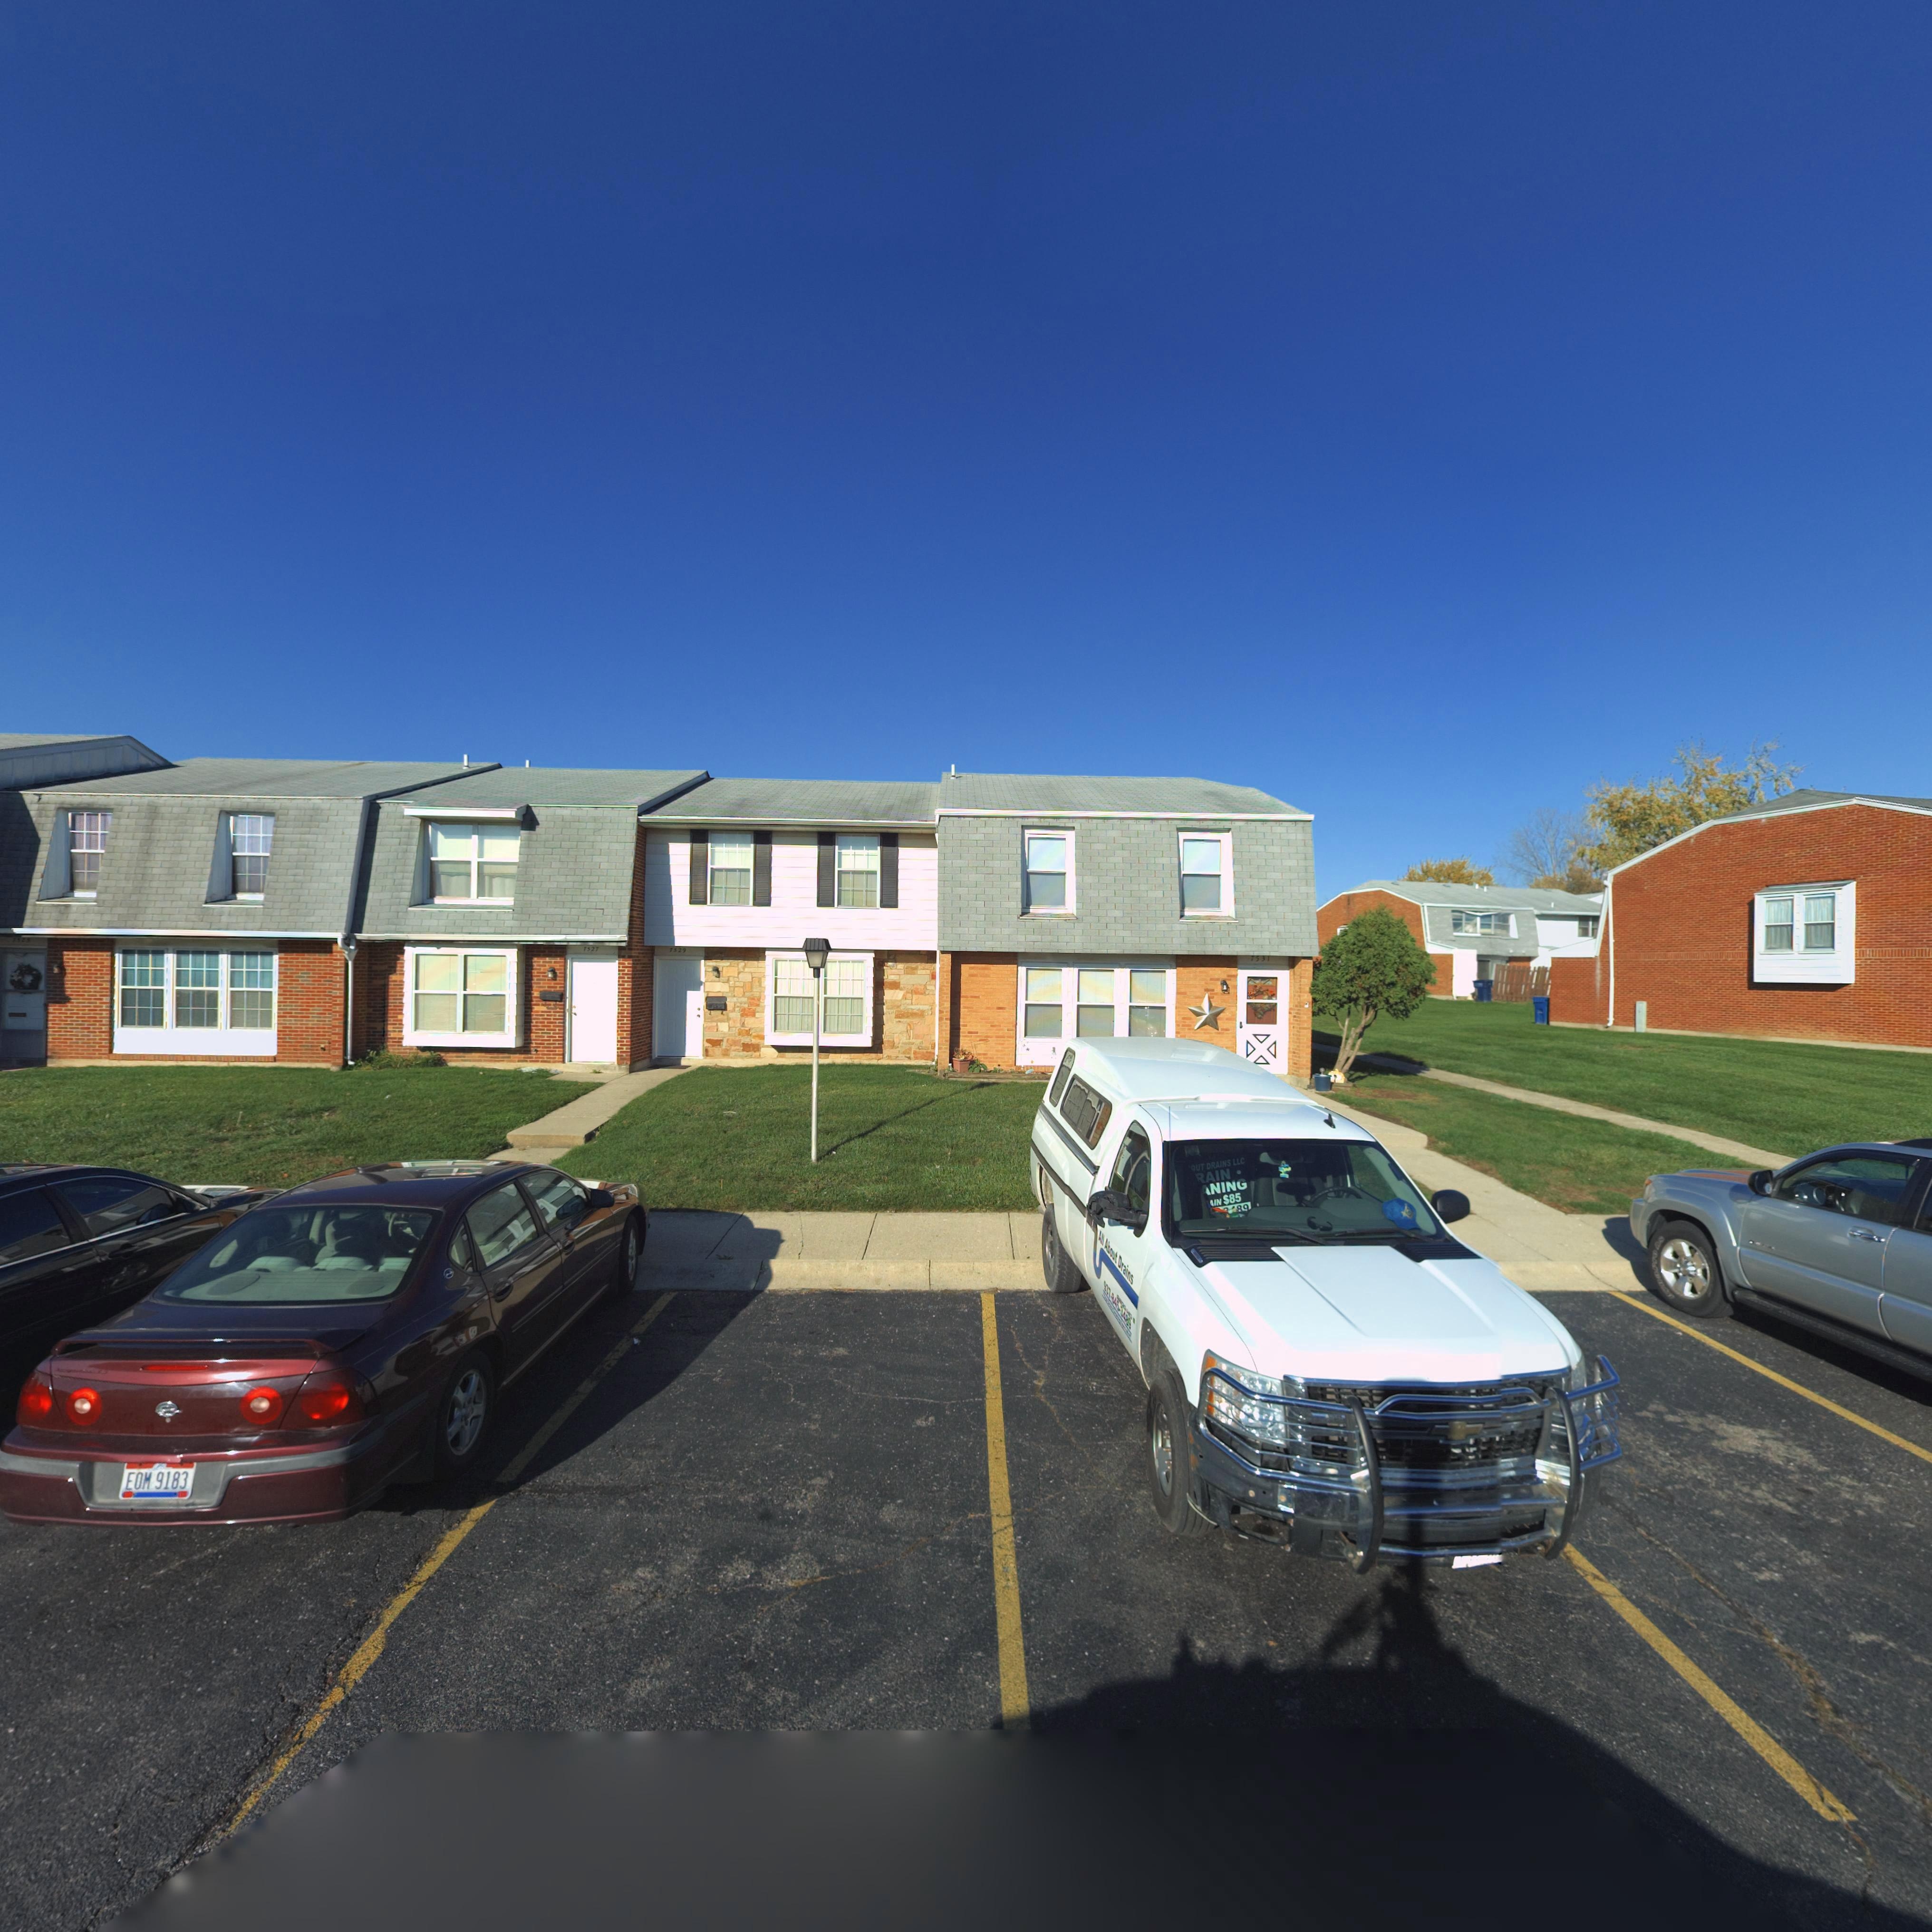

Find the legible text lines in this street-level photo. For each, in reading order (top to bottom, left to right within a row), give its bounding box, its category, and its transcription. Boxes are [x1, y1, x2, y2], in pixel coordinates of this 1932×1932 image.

[11, 937, 31, 943] StreetNumber: 7523
[582, 946, 600, 952] StreetNumber: 7527
[669, 947, 686, 953] StreetNumber: 7529
[1250, 956, 1270, 962] StreetNumber: 7531